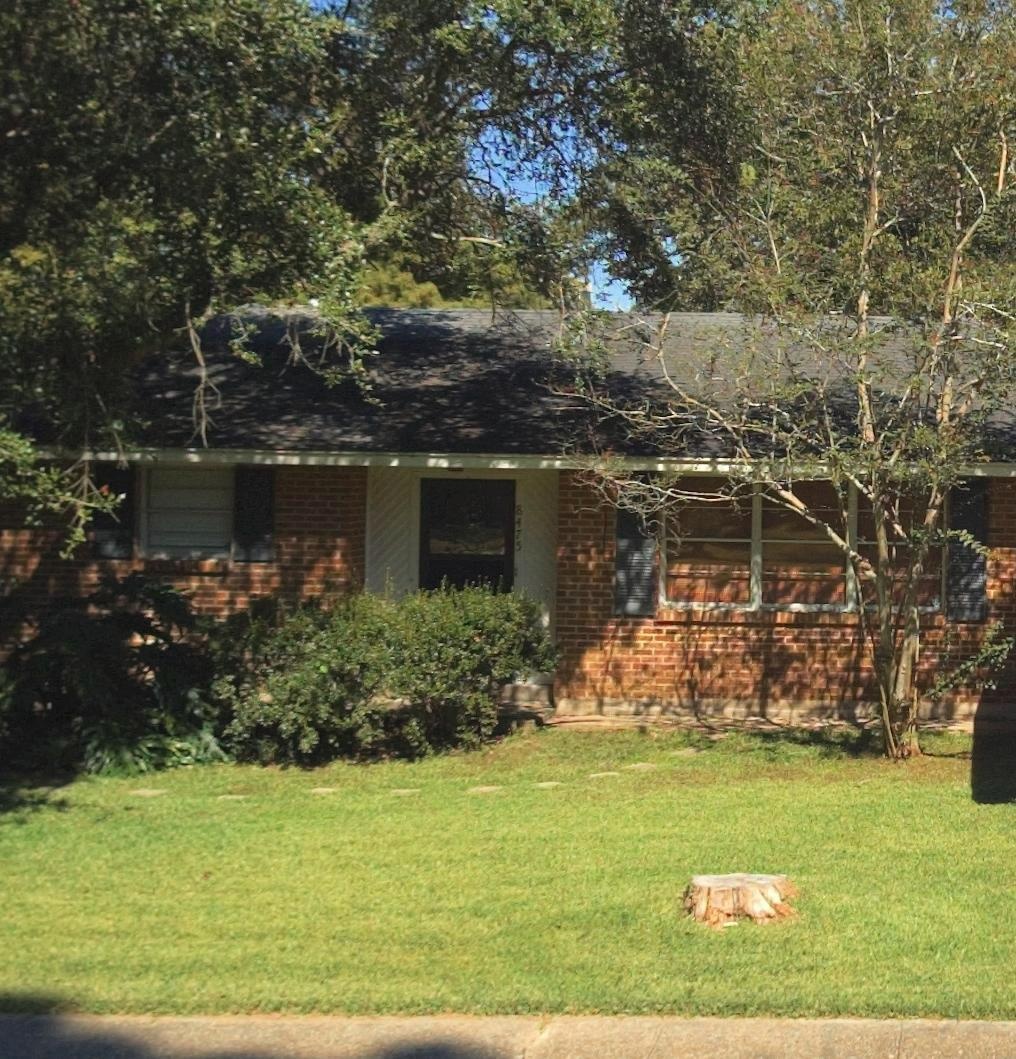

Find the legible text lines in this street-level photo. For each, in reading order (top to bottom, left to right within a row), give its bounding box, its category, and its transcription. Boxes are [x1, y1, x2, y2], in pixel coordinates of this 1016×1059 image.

[513, 501, 525, 554] StreetNumber: 8475